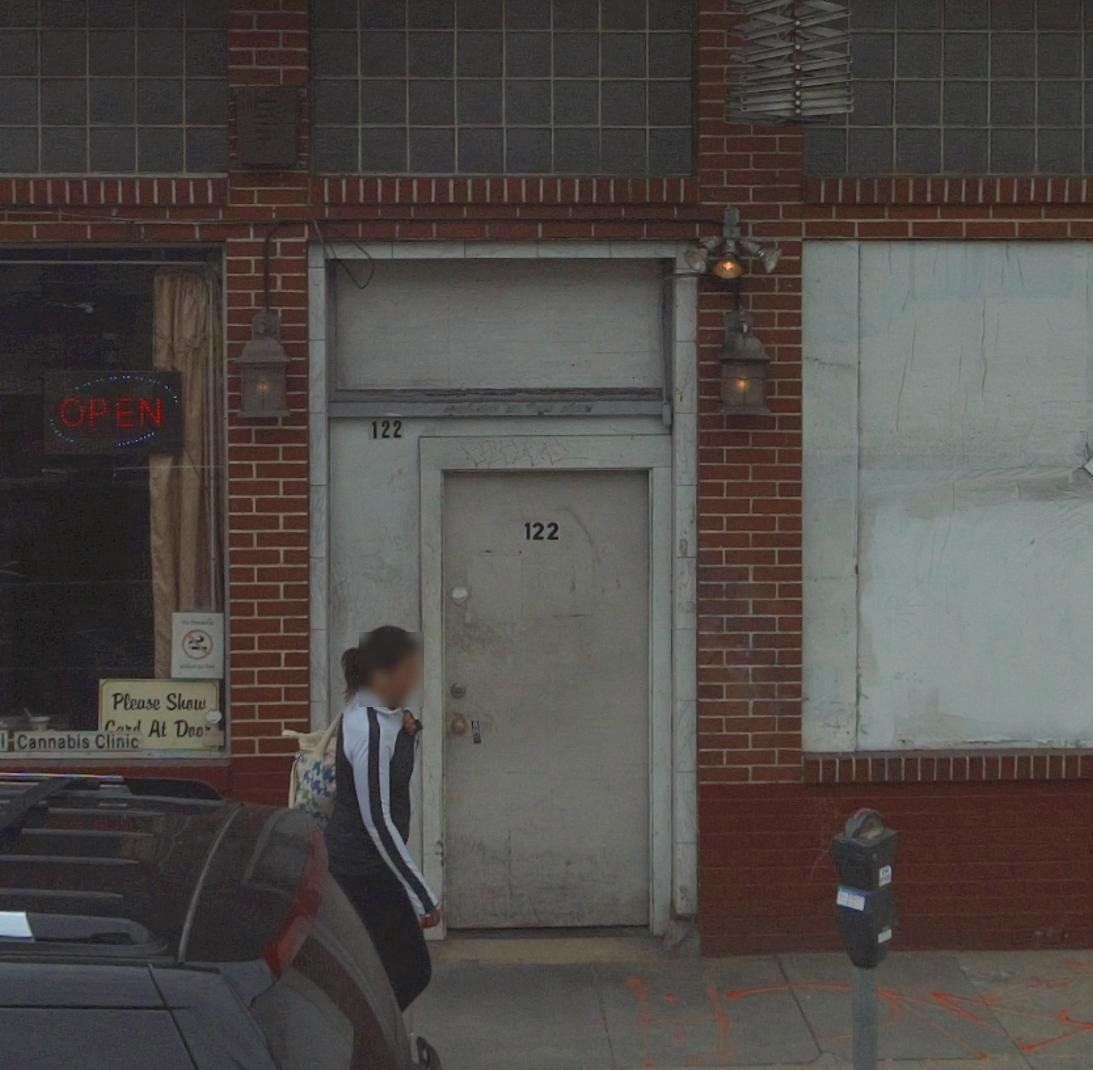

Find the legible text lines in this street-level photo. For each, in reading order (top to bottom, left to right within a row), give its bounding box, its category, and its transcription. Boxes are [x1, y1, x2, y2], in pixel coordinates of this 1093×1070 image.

[58, 395, 164, 430] None: OPEN
[370, 418, 404, 441] StreetNumber: 122
[522, 520, 561, 542] StreetNumber: 122
[108, 688, 211, 713] None: Please Show
[143, 717, 205, 740] None: At Doo
[14, 730, 142, 753] None: Cannabis Clinic